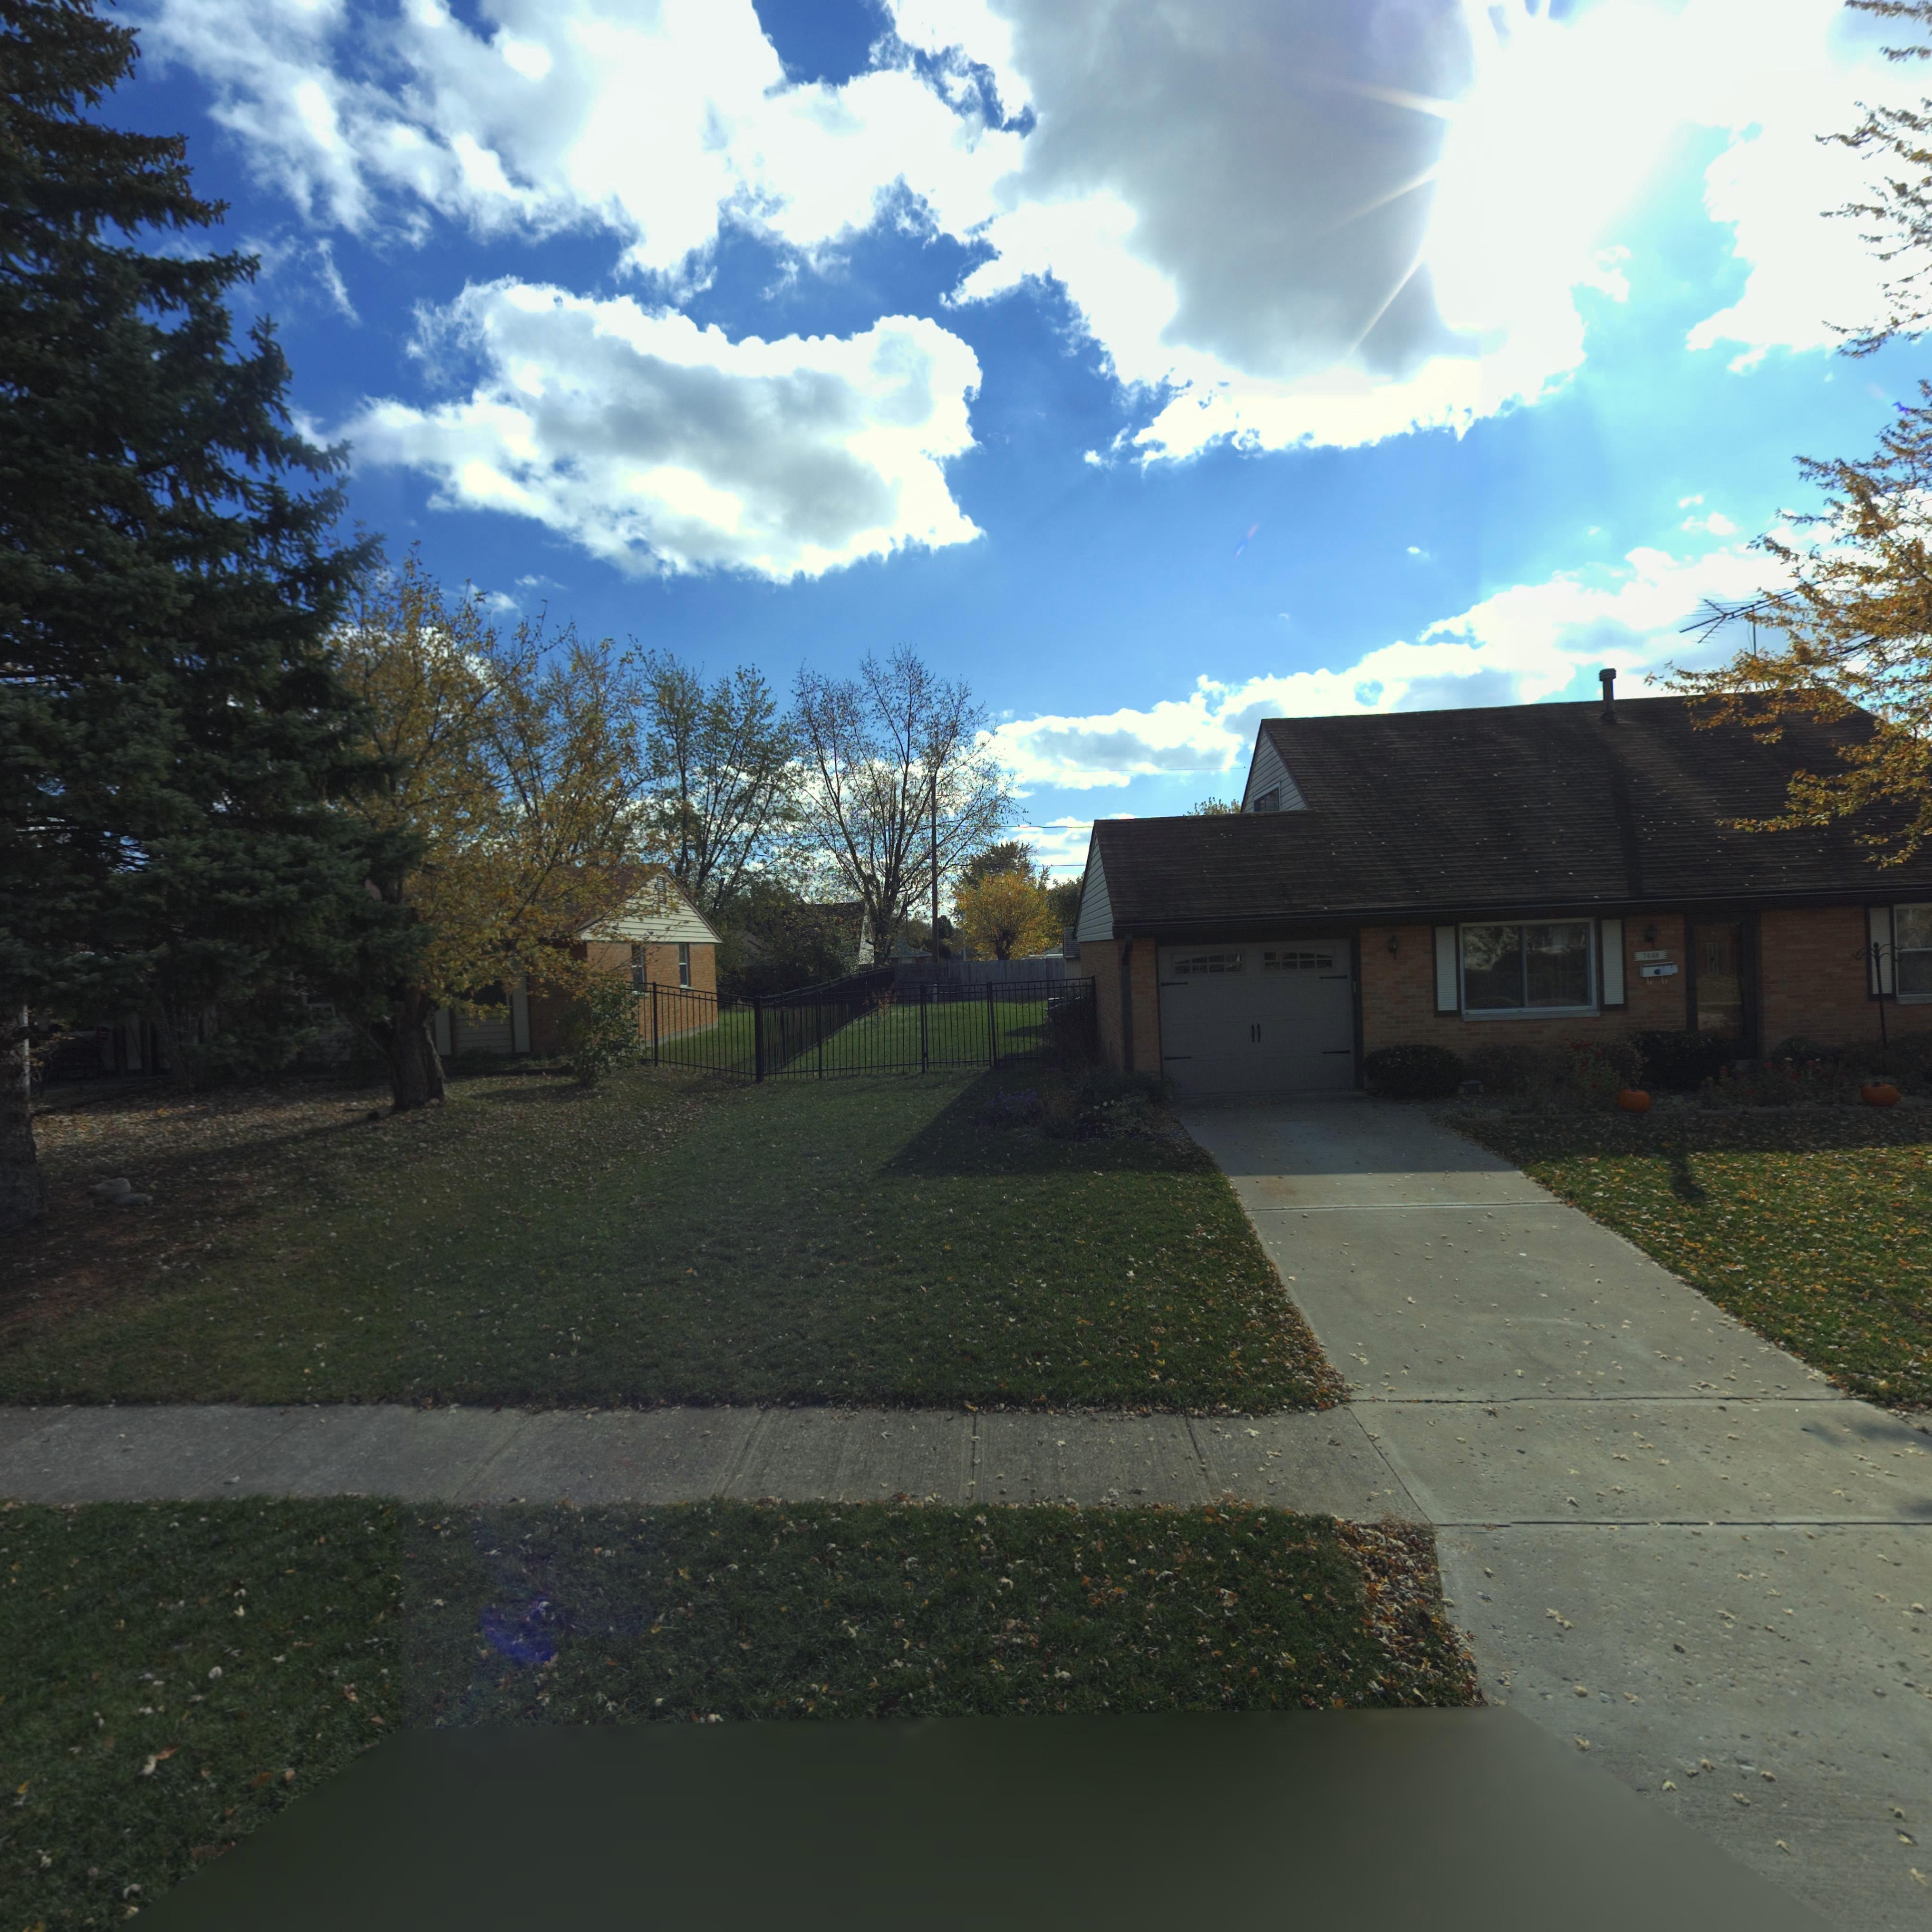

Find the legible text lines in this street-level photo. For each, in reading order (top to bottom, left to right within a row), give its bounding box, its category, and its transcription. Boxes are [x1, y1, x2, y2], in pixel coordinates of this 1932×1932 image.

[1642, 952, 1659, 959] StreetNumber: 7668